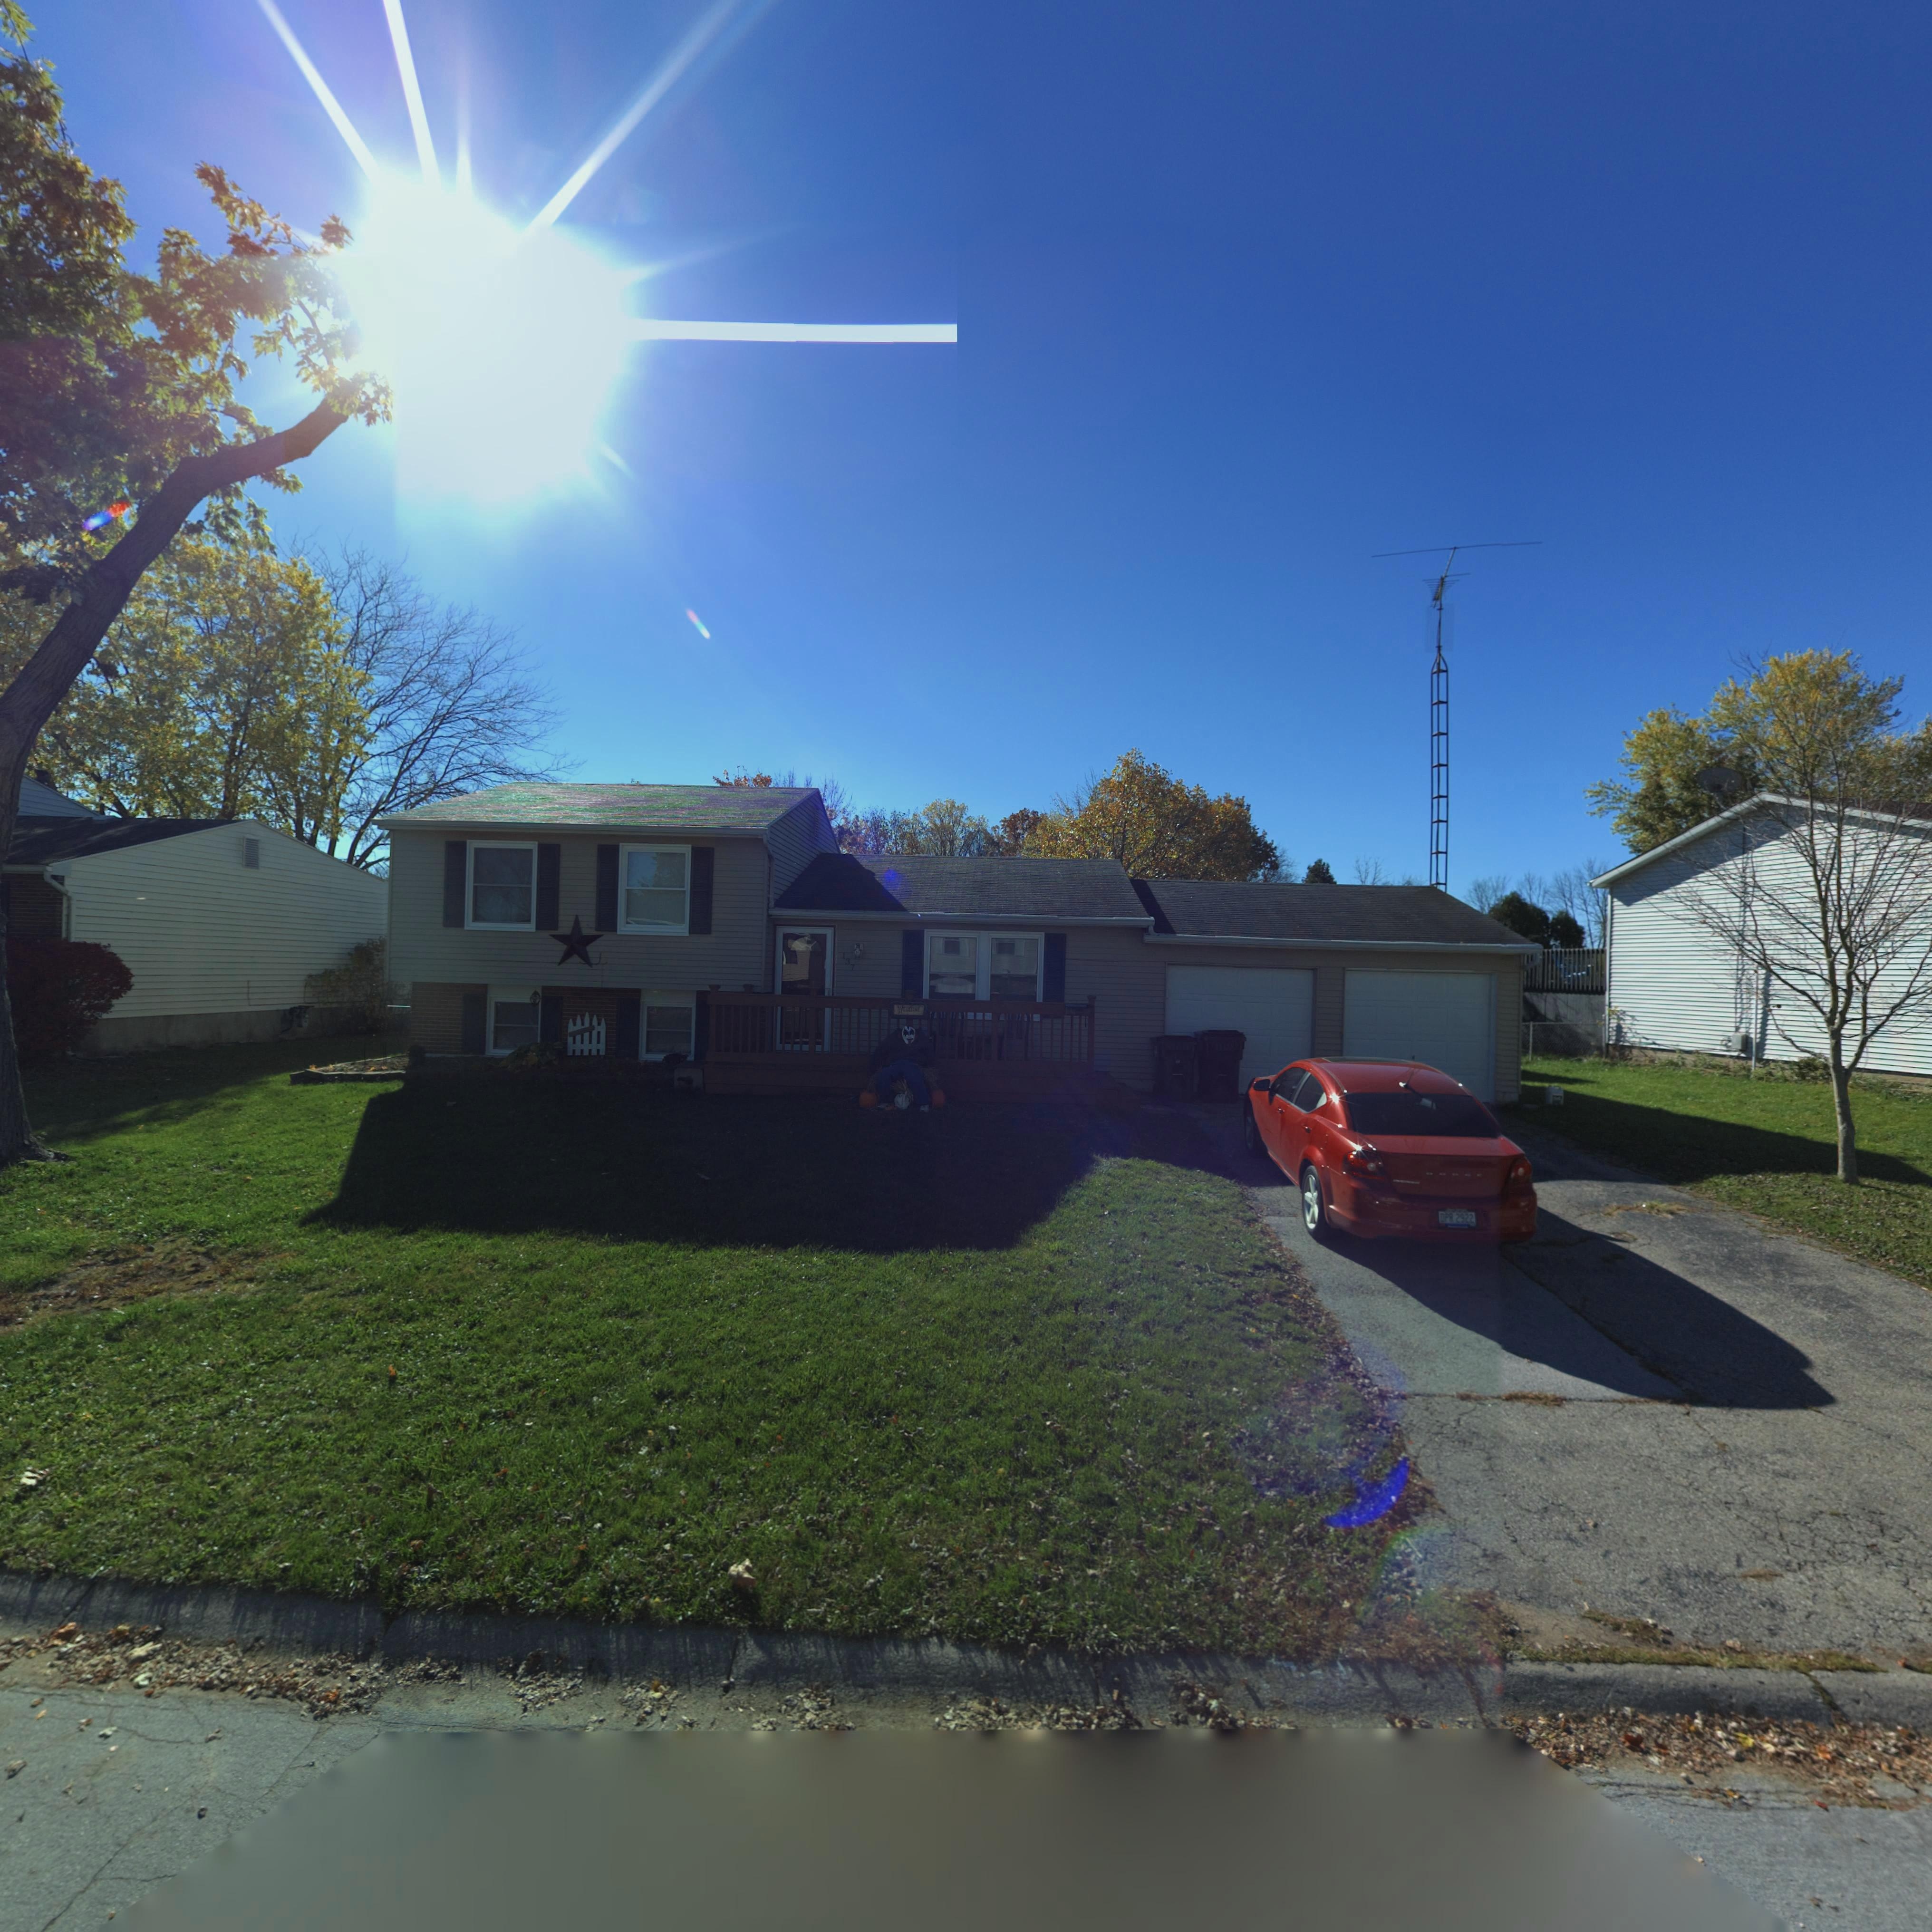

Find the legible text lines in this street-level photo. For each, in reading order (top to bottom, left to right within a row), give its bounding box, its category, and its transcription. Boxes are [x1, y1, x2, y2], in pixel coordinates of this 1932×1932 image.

[841, 951, 857, 972] StreetNumber: 137